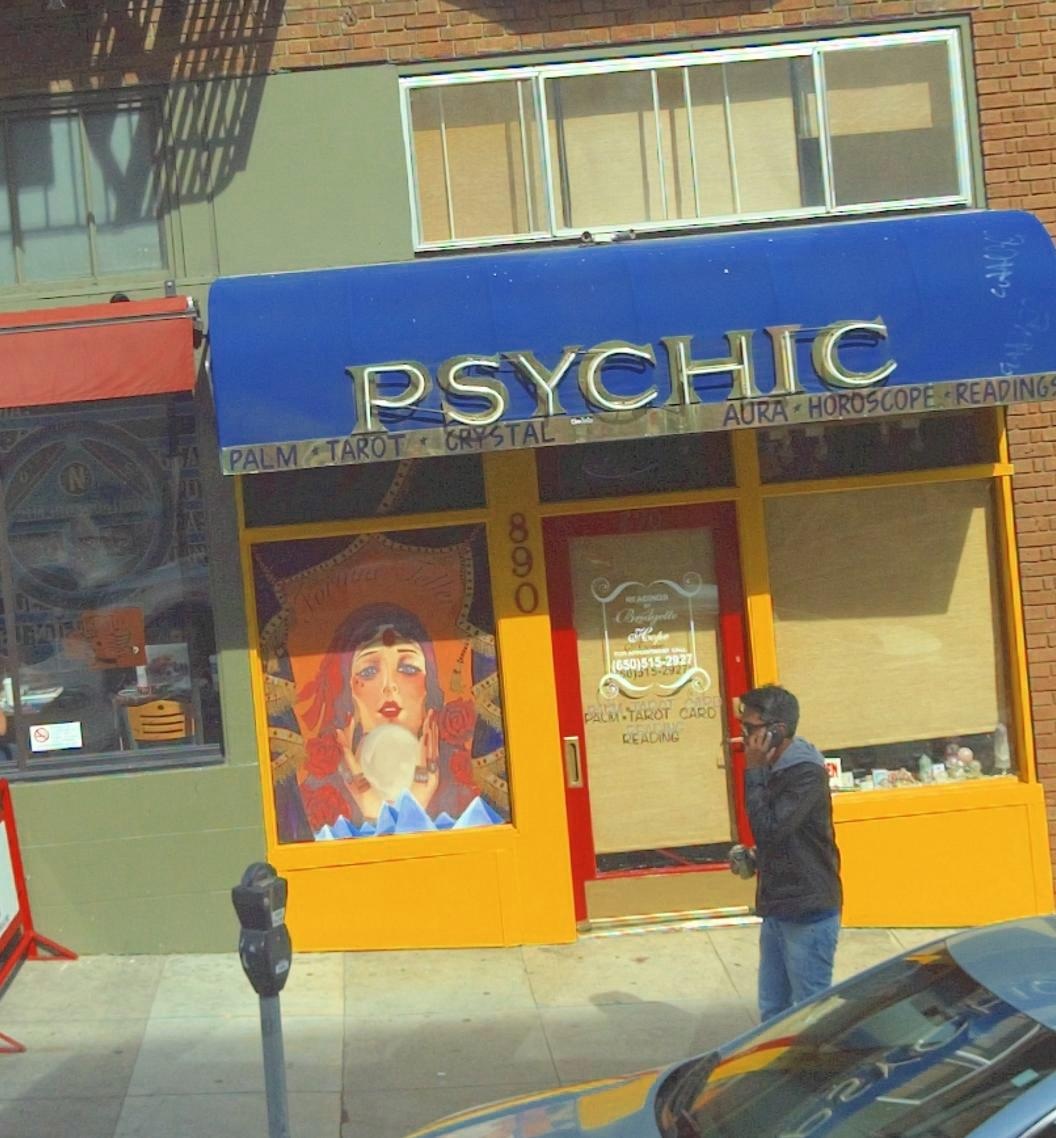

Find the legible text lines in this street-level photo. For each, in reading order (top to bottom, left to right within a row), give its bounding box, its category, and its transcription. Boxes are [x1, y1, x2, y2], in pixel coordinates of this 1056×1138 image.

[339, 307, 906, 441] BusinessName: PSYCHIC
[720, 371, 1052, 432] None: AURA * HOROSCOPE * READING
[222, 418, 560, 475] None: PALM * TAROT * CRYSTAL
[64, 460, 90, 496] None: N
[177, 443, 206, 546] None: AUA
[287, 575, 341, 631] None: For
[383, 553, 461, 613] None: Teller
[504, 509, 543, 620] StreetNumber: 890
[621, 607, 681, 626] None: Bridgette
[609, 650, 694, 675] None: (650)515-2927
[645, 629, 673, 646] None: Hope
[582, 704, 719, 728] None: PALM*TAROT CARD
[619, 727, 683, 748] None: READING 